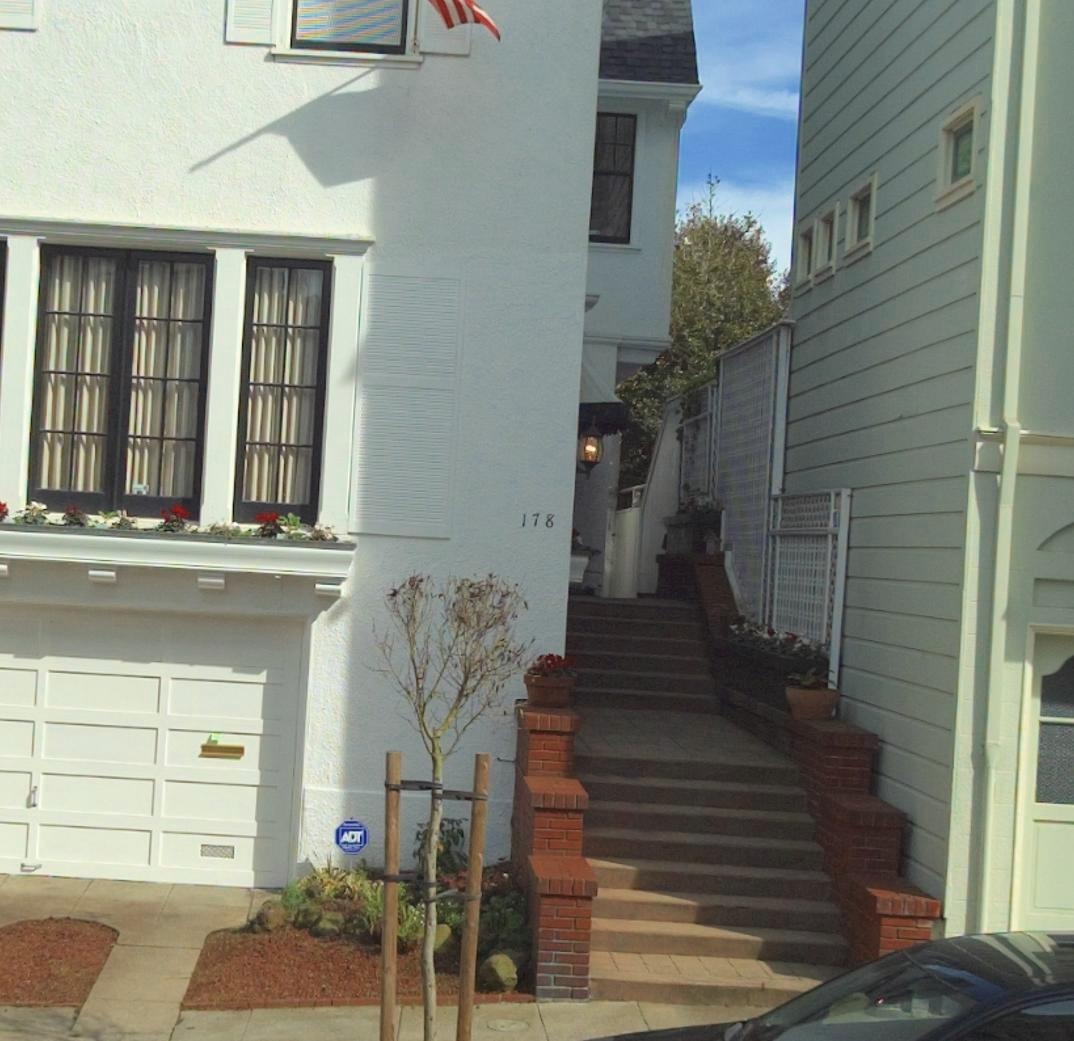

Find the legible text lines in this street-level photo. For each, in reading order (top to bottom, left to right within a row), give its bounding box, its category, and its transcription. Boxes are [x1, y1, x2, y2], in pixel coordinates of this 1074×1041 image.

[520, 510, 557, 531] StreetNumber: 178
[336, 828, 365, 847] None: ADT